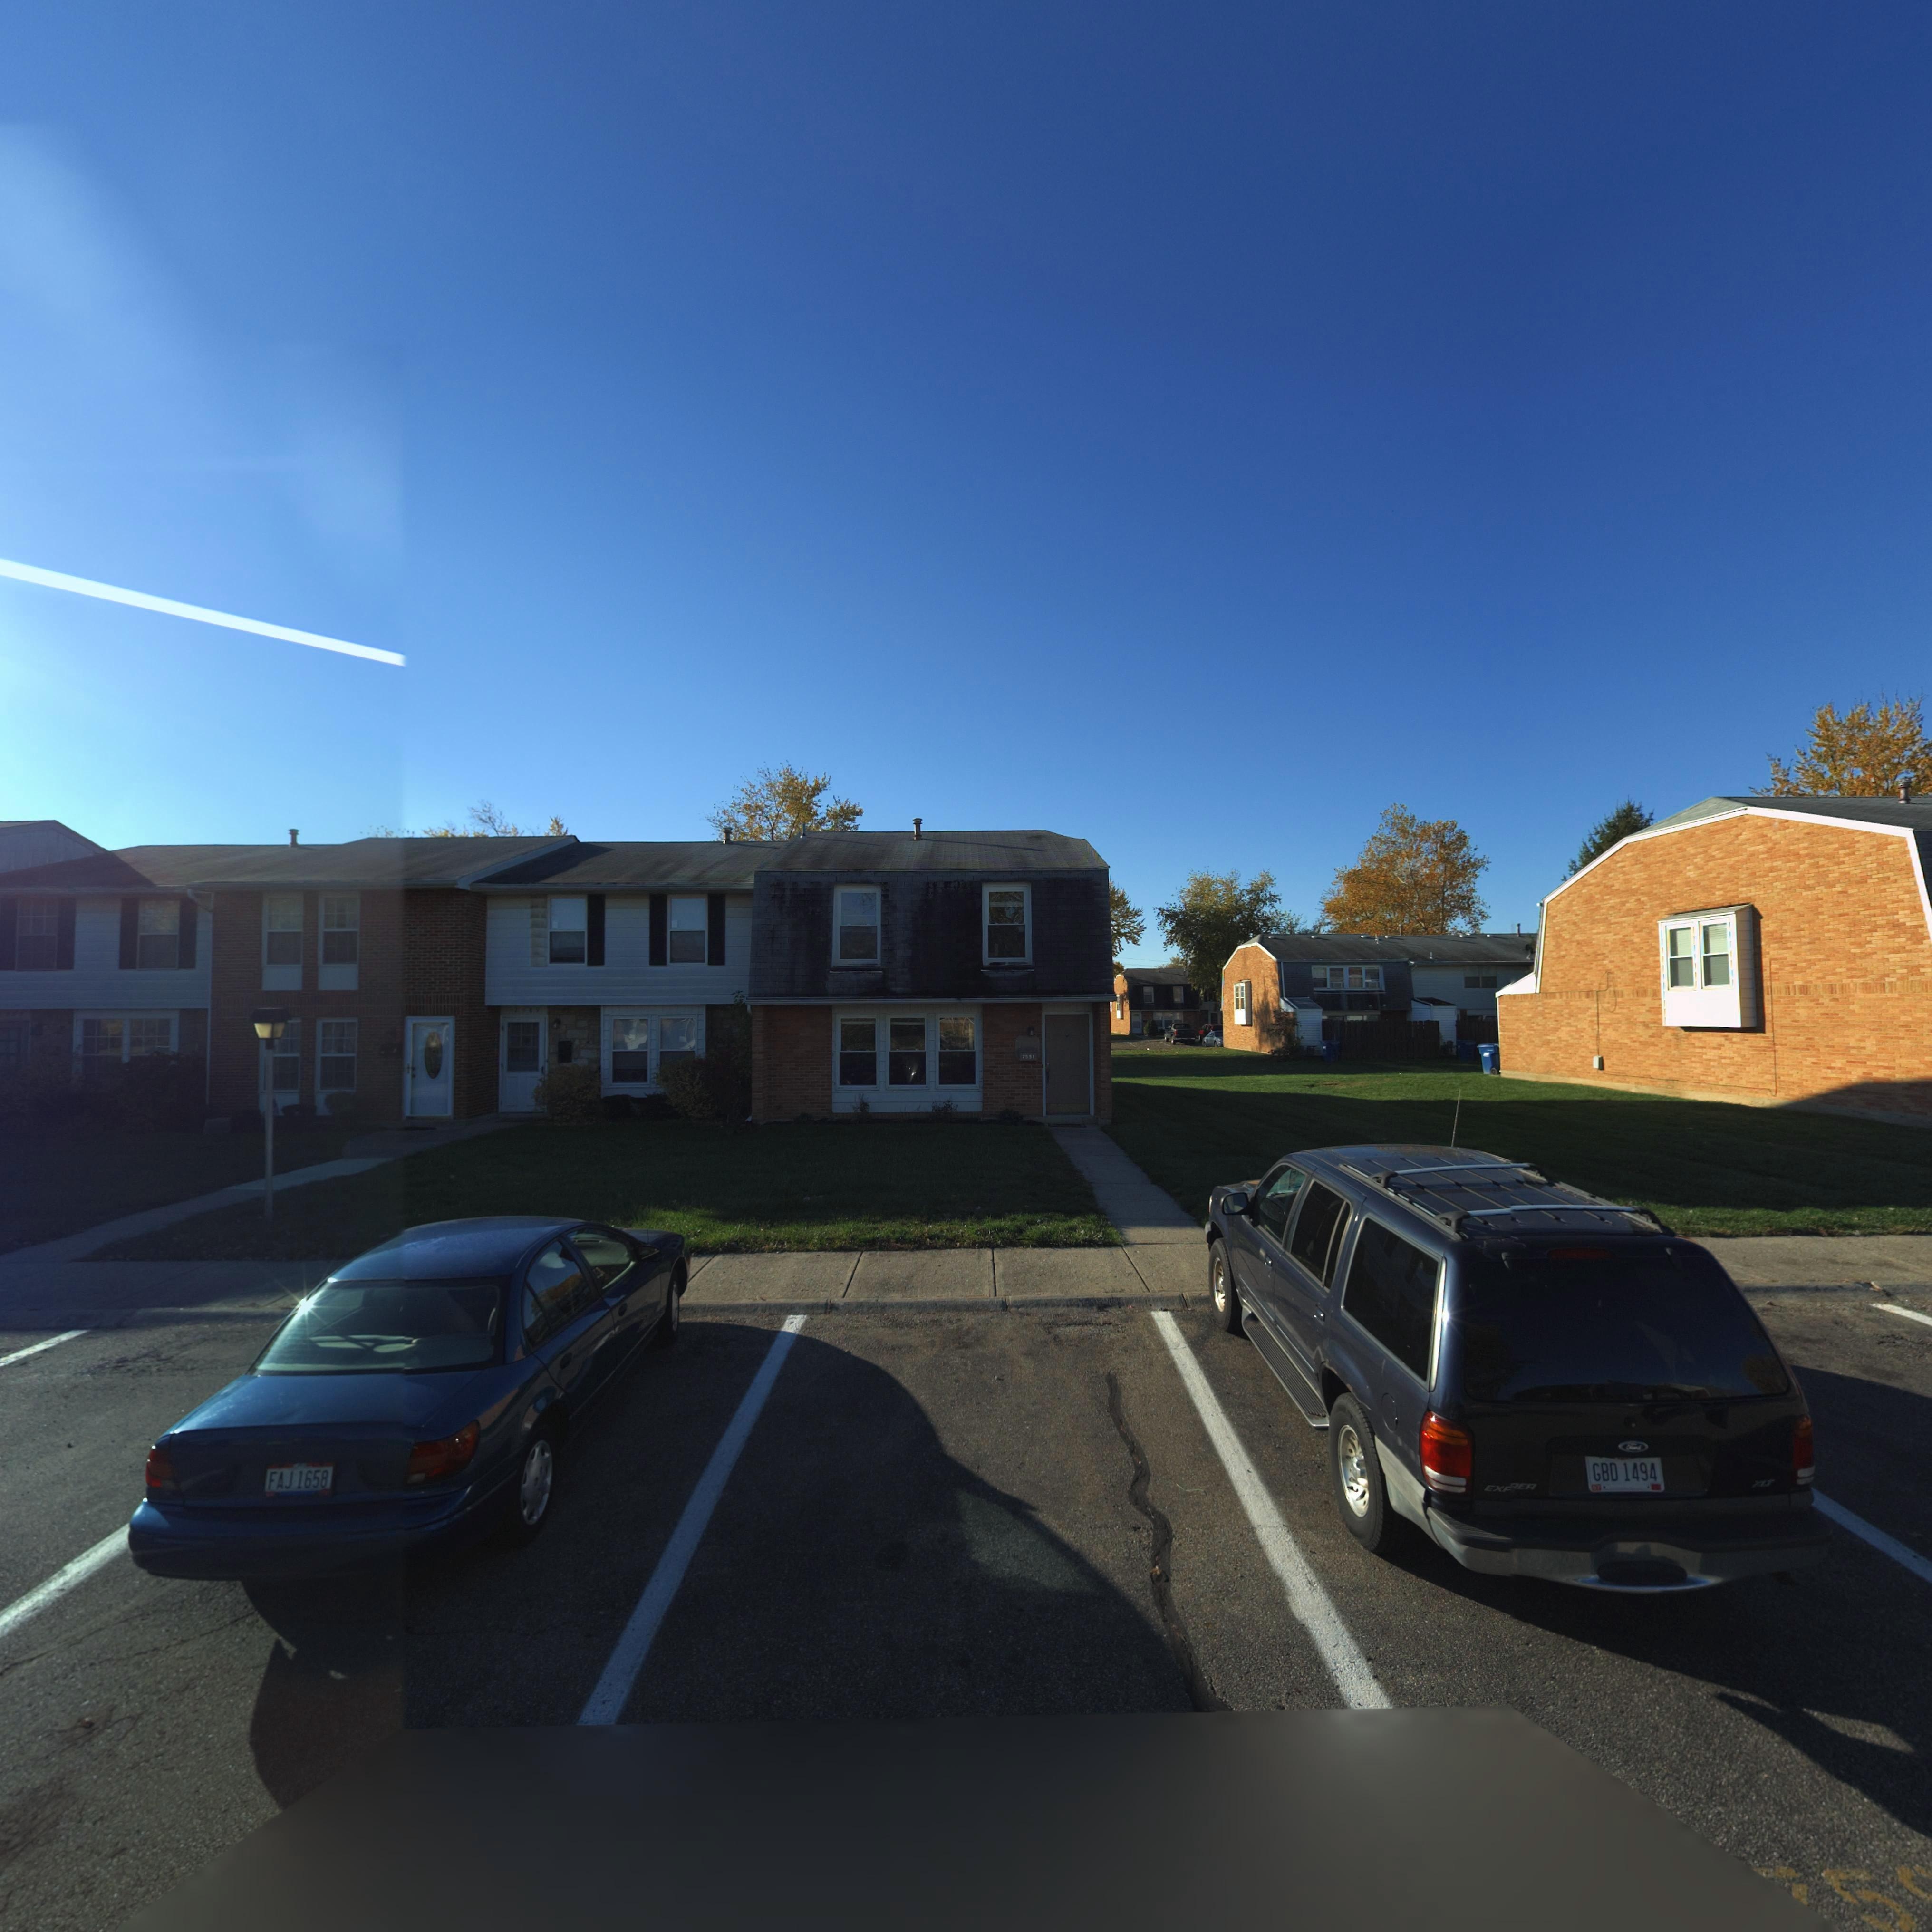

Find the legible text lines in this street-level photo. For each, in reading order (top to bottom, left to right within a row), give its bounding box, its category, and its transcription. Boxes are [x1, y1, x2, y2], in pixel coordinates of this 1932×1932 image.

[513, 1006, 541, 1014] StreetNumber: 7*89
[1021, 1054, 1034, 1059] StreetNumber: 7591
[1816, 1865, 1921, 1932] StreetNumber: 5